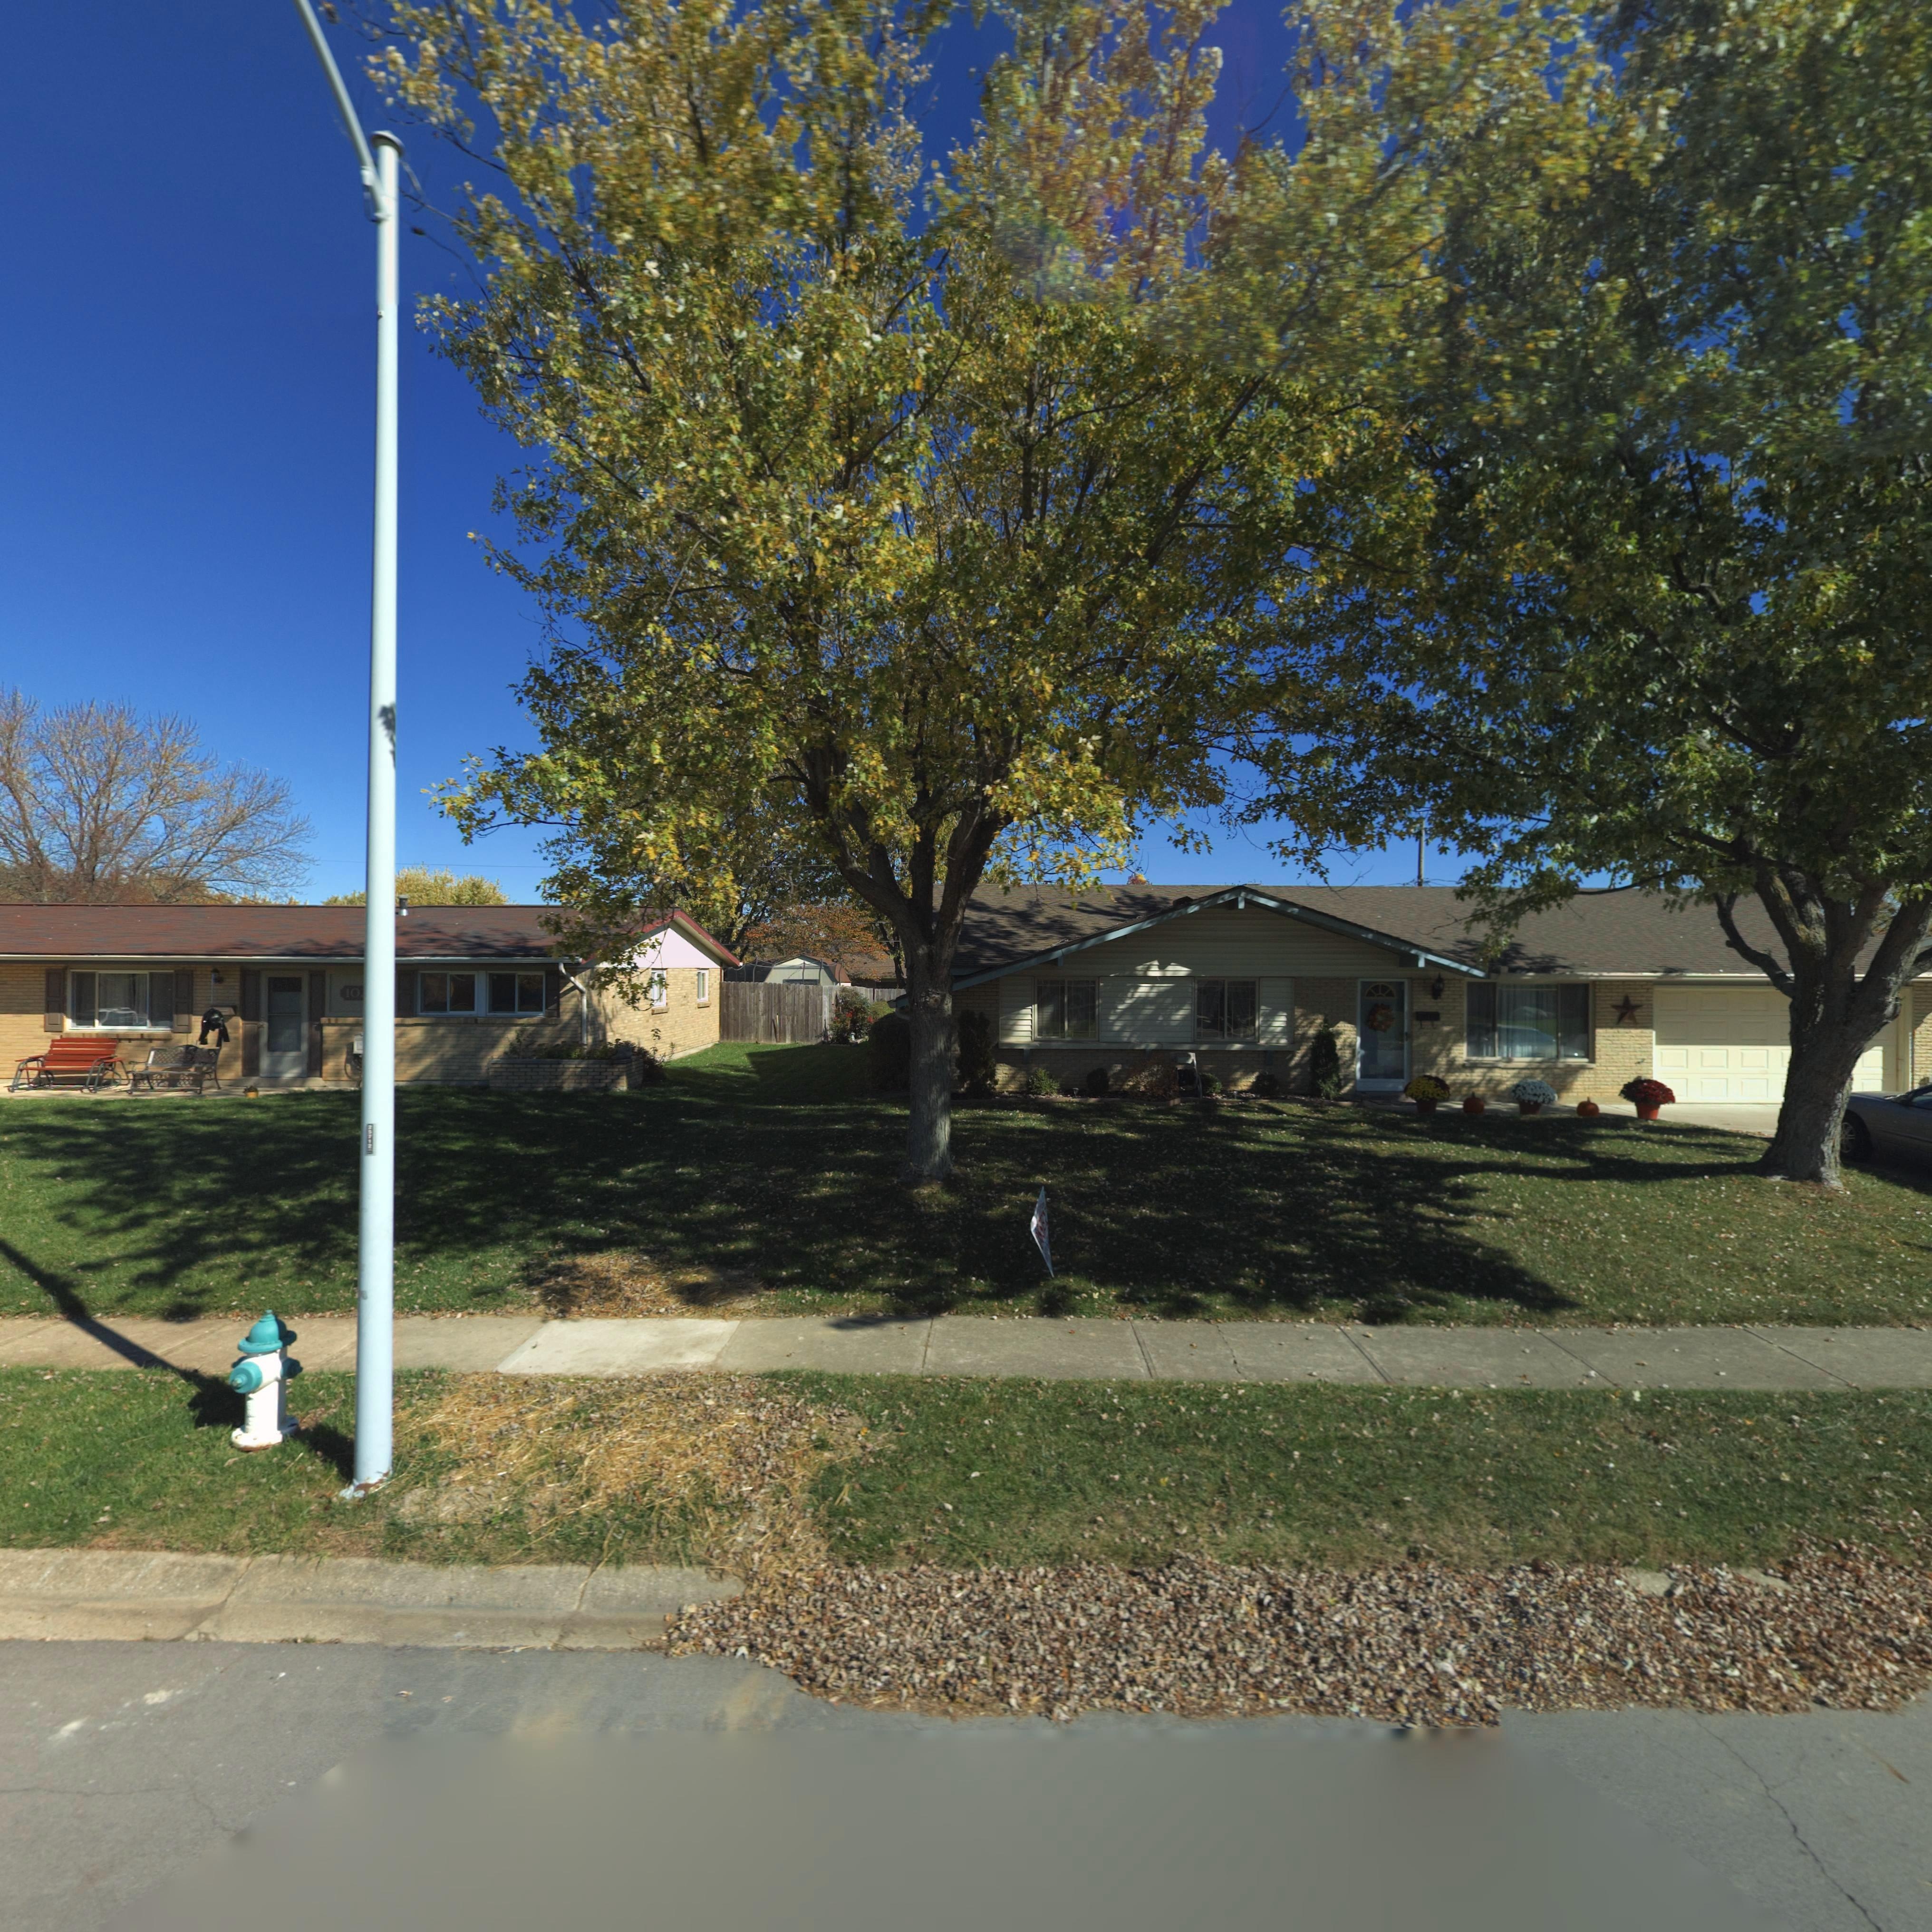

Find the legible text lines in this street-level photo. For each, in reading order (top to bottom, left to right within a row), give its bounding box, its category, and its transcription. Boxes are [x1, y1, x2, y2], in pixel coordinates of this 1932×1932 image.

[345, 986, 362, 999] StreetNumber: 10